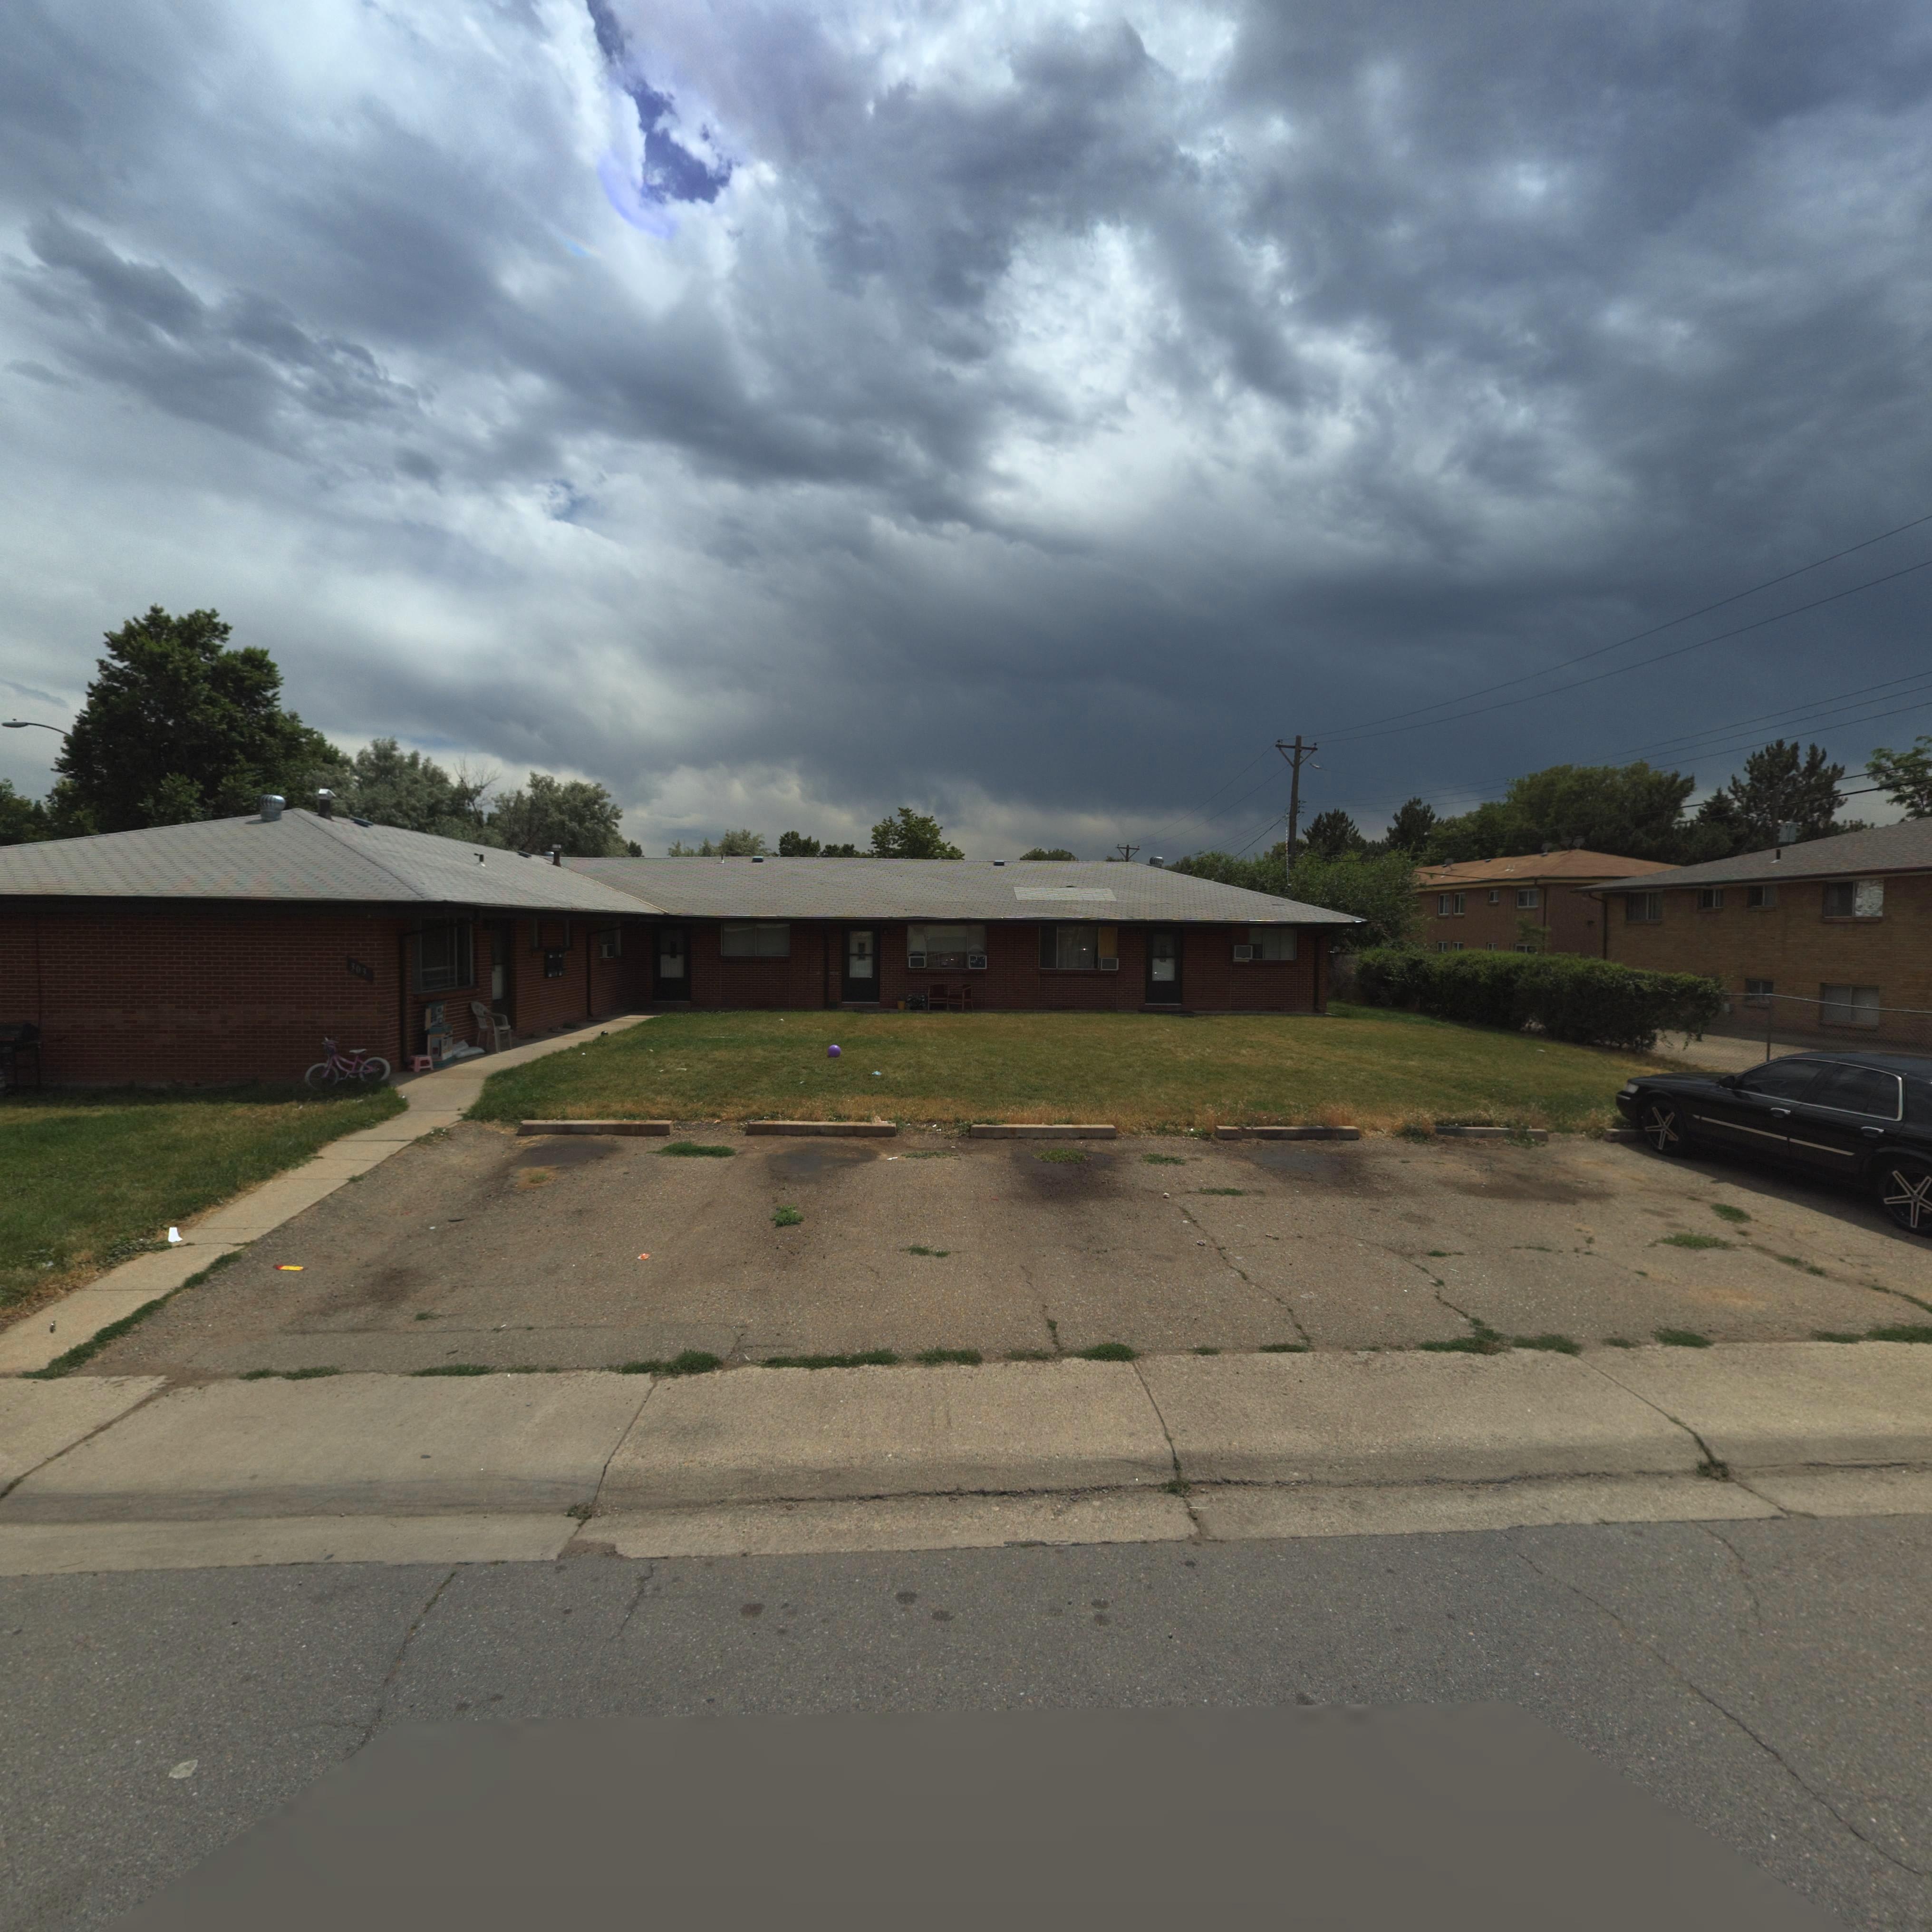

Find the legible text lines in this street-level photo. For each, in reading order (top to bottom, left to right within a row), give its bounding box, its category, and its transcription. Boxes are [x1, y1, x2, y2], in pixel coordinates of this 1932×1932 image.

[350, 962, 367, 977] StreetNumber: 303